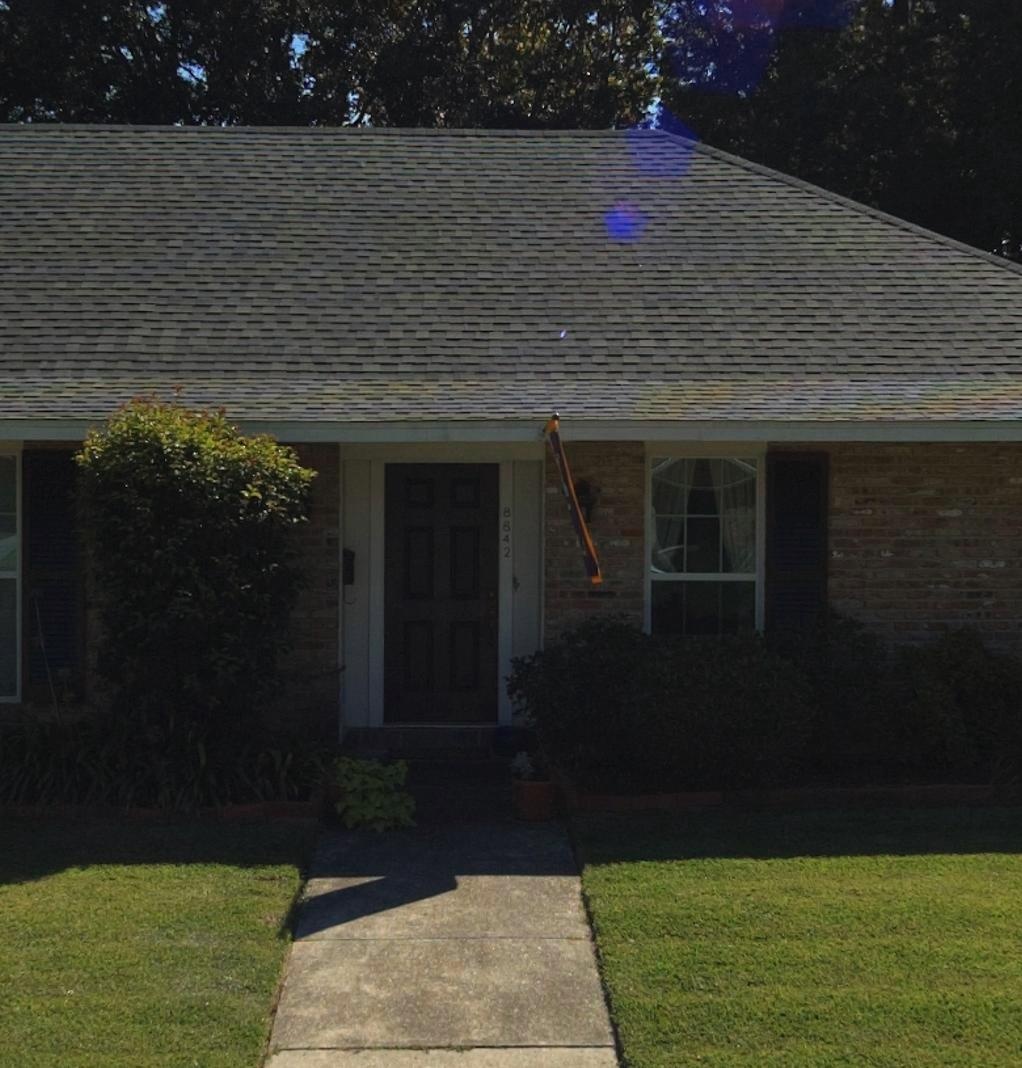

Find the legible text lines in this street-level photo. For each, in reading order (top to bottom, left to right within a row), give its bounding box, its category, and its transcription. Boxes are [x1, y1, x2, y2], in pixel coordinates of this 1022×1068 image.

[500, 505, 512, 559] StreetNumber: 8842